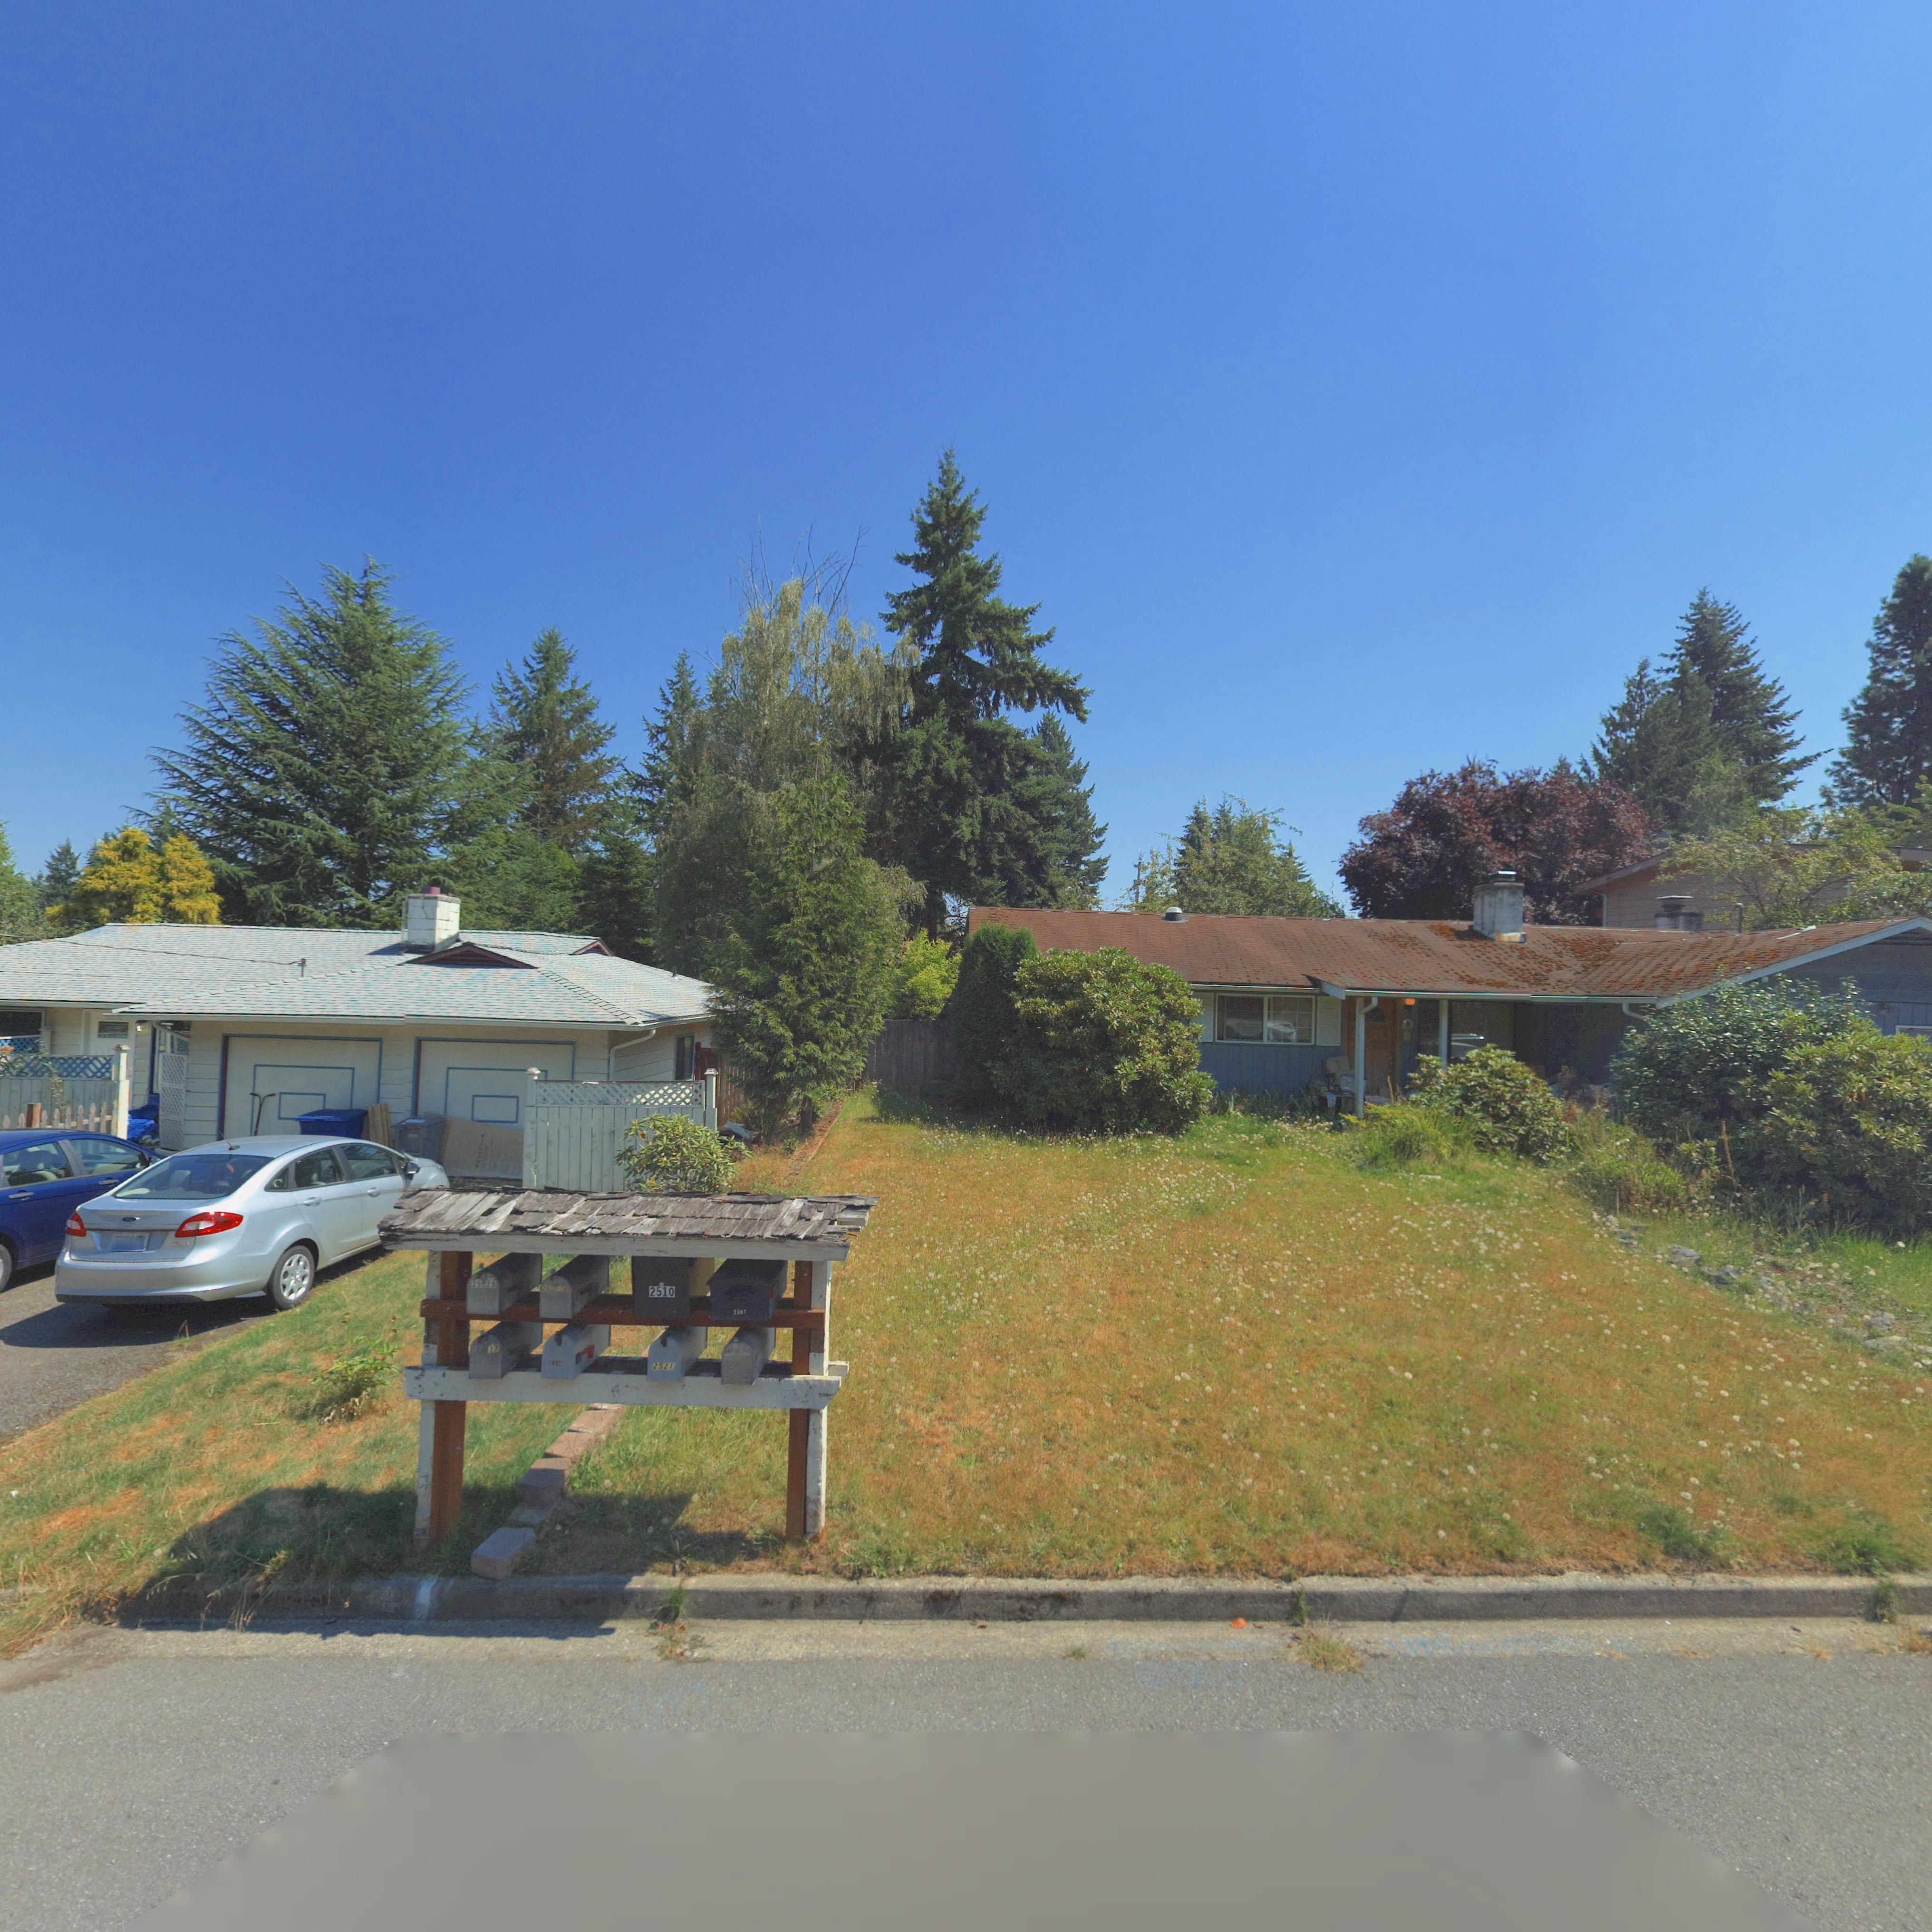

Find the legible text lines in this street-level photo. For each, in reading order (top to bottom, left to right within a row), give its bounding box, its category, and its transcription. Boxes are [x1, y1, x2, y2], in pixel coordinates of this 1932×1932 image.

[473, 1279, 496, 1288] StreetNumber: 25 28
[649, 1286, 675, 1297] StreetNumber: 2510
[733, 1308, 746, 1315] StreetNumber: 2*07
[487, 1343, 499, 1353] StreetNumber: 37
[652, 1362, 674, 1370] StreetNumber: 2521